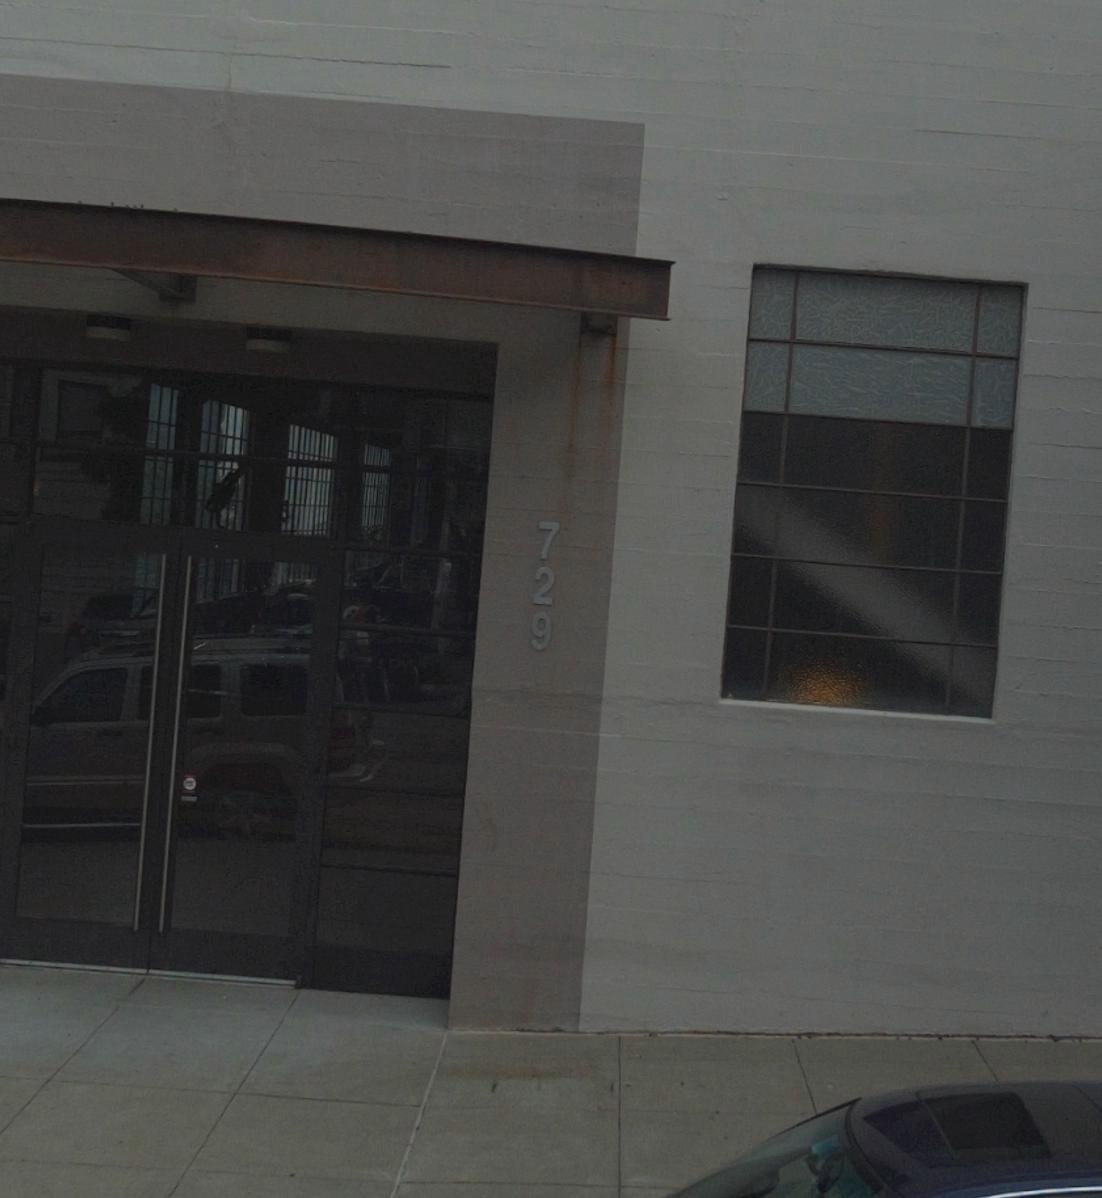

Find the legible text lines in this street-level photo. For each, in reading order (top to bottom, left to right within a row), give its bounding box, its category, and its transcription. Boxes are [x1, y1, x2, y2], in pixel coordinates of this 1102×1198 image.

[528, 519, 563, 654] StreetNumber: 729